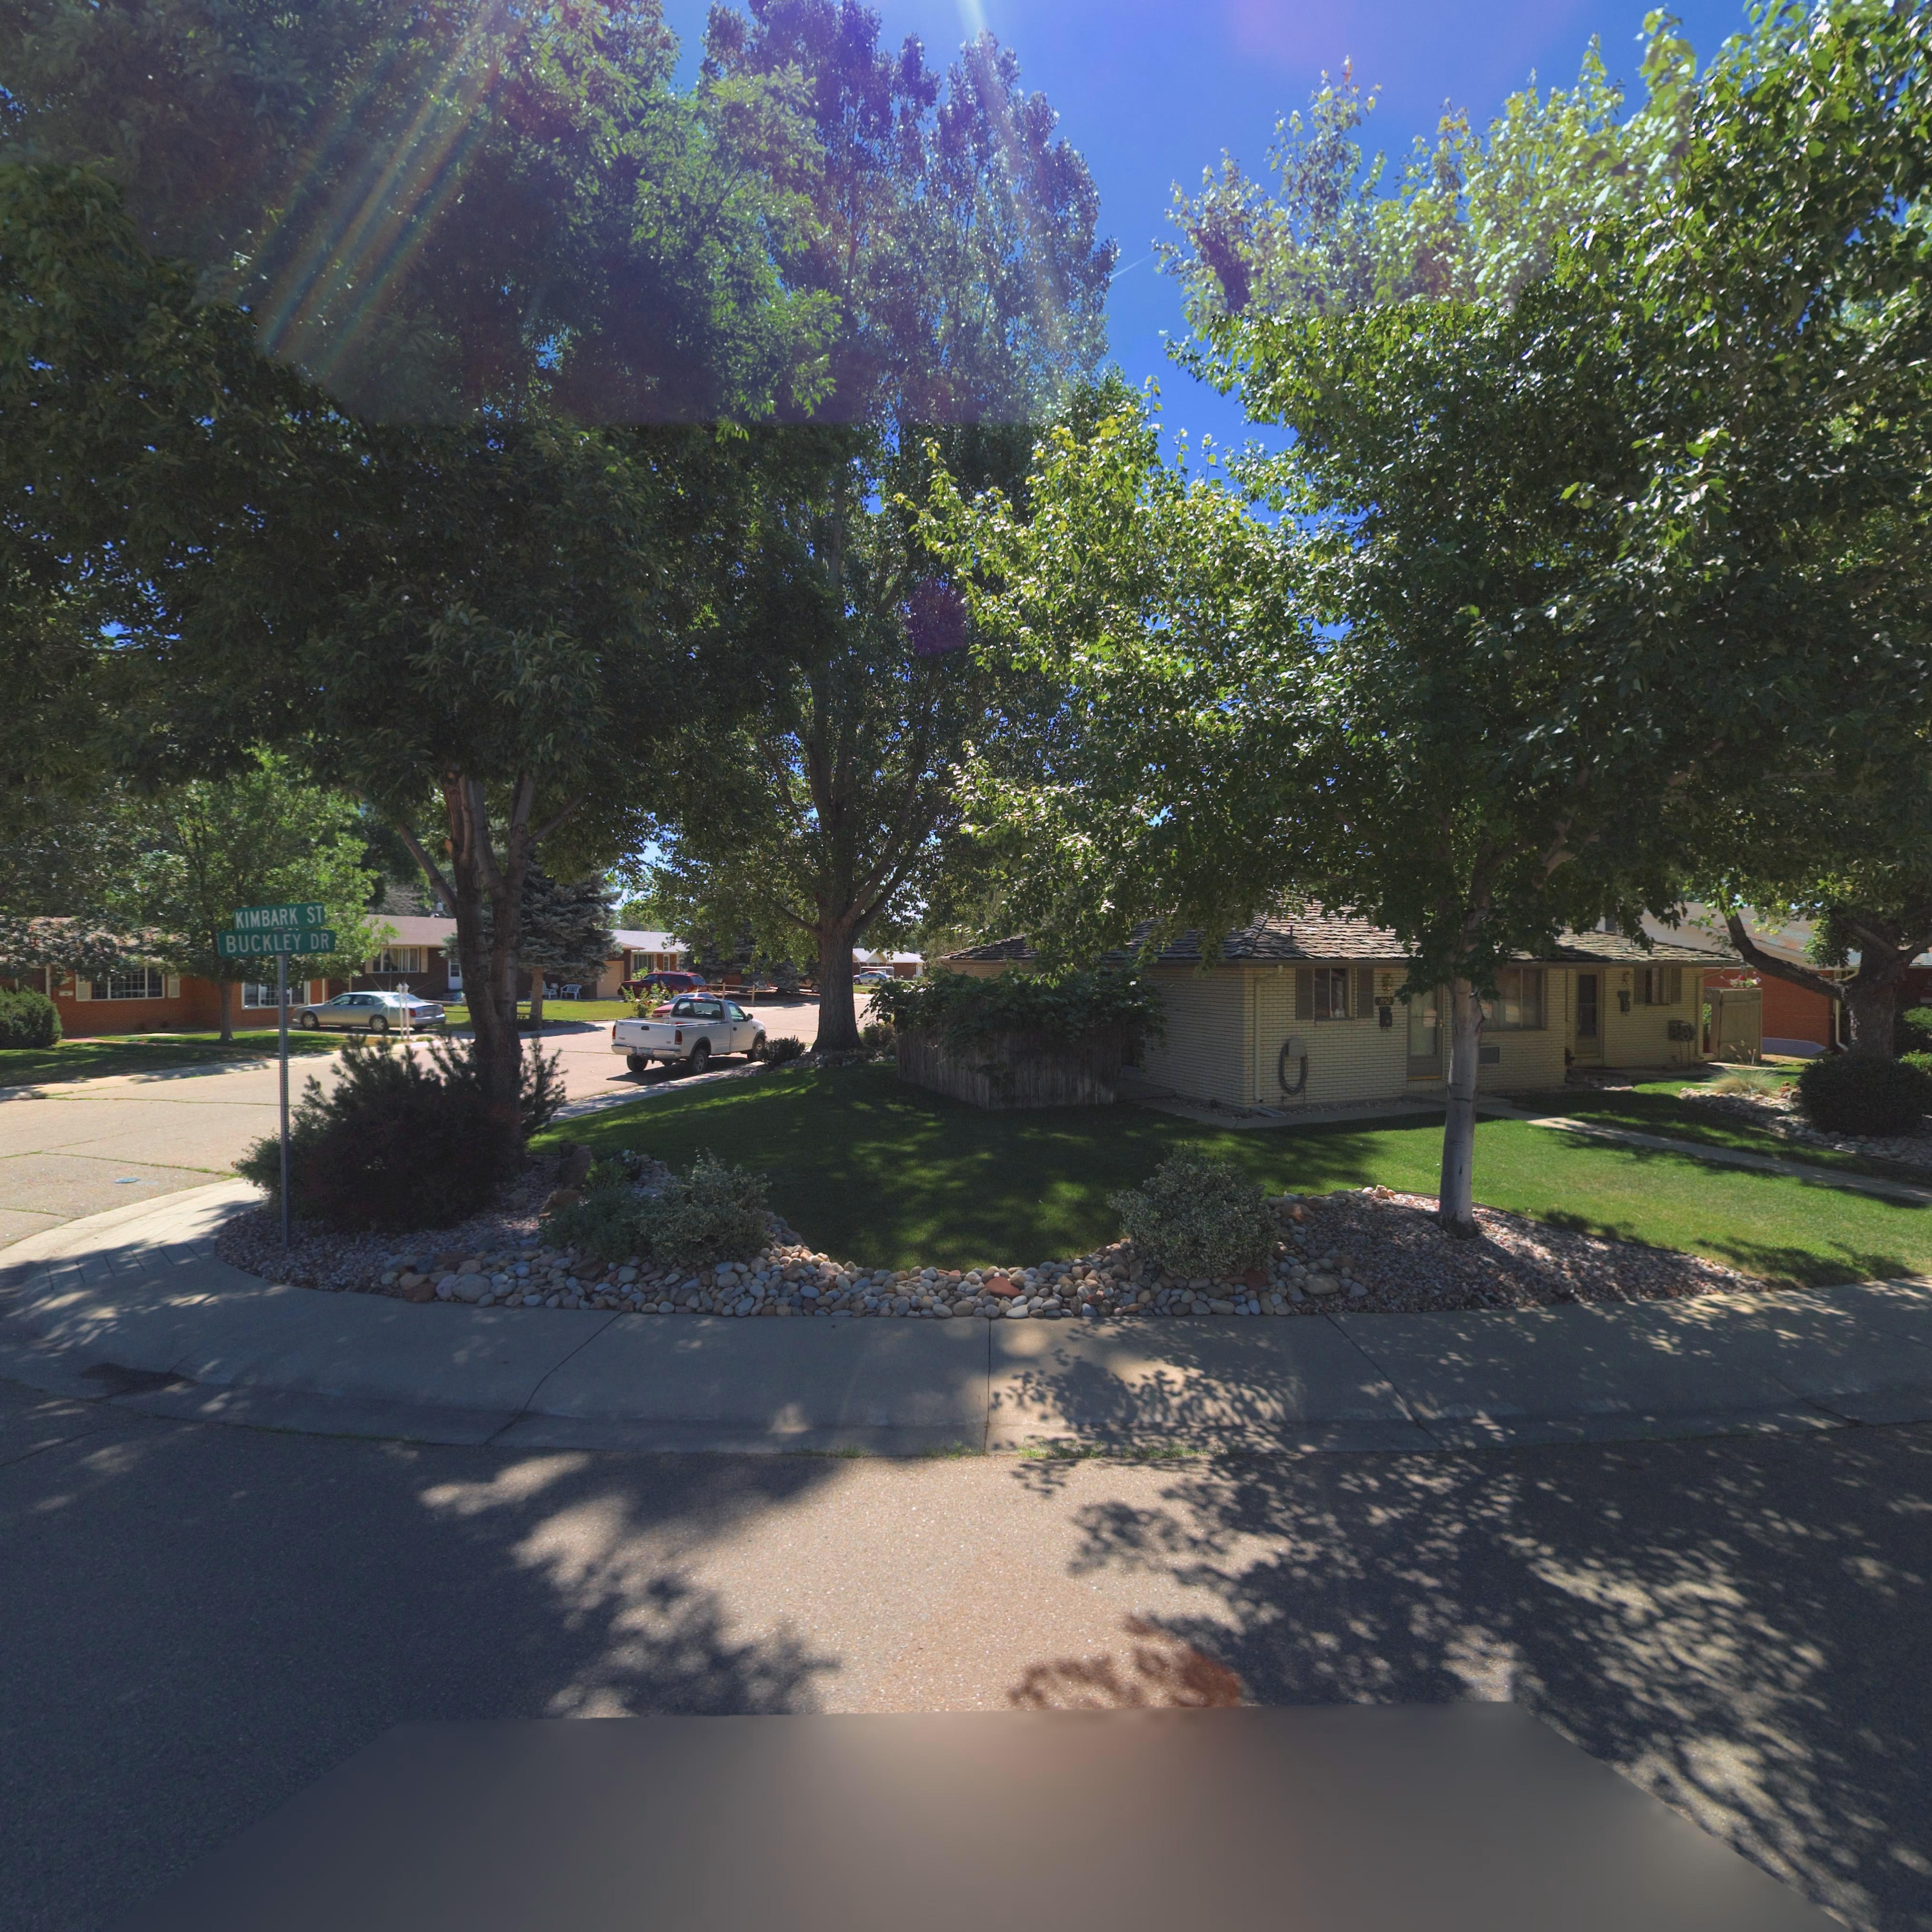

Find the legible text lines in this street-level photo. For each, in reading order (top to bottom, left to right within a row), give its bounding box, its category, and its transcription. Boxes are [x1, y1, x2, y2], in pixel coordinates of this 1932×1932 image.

[234, 904, 323, 929] StreetName: KIMBARK ST
[225, 932, 329, 953] StreetName: BUCKLEY DR
[1379, 997, 1391, 1004] StreetNumber: 1952